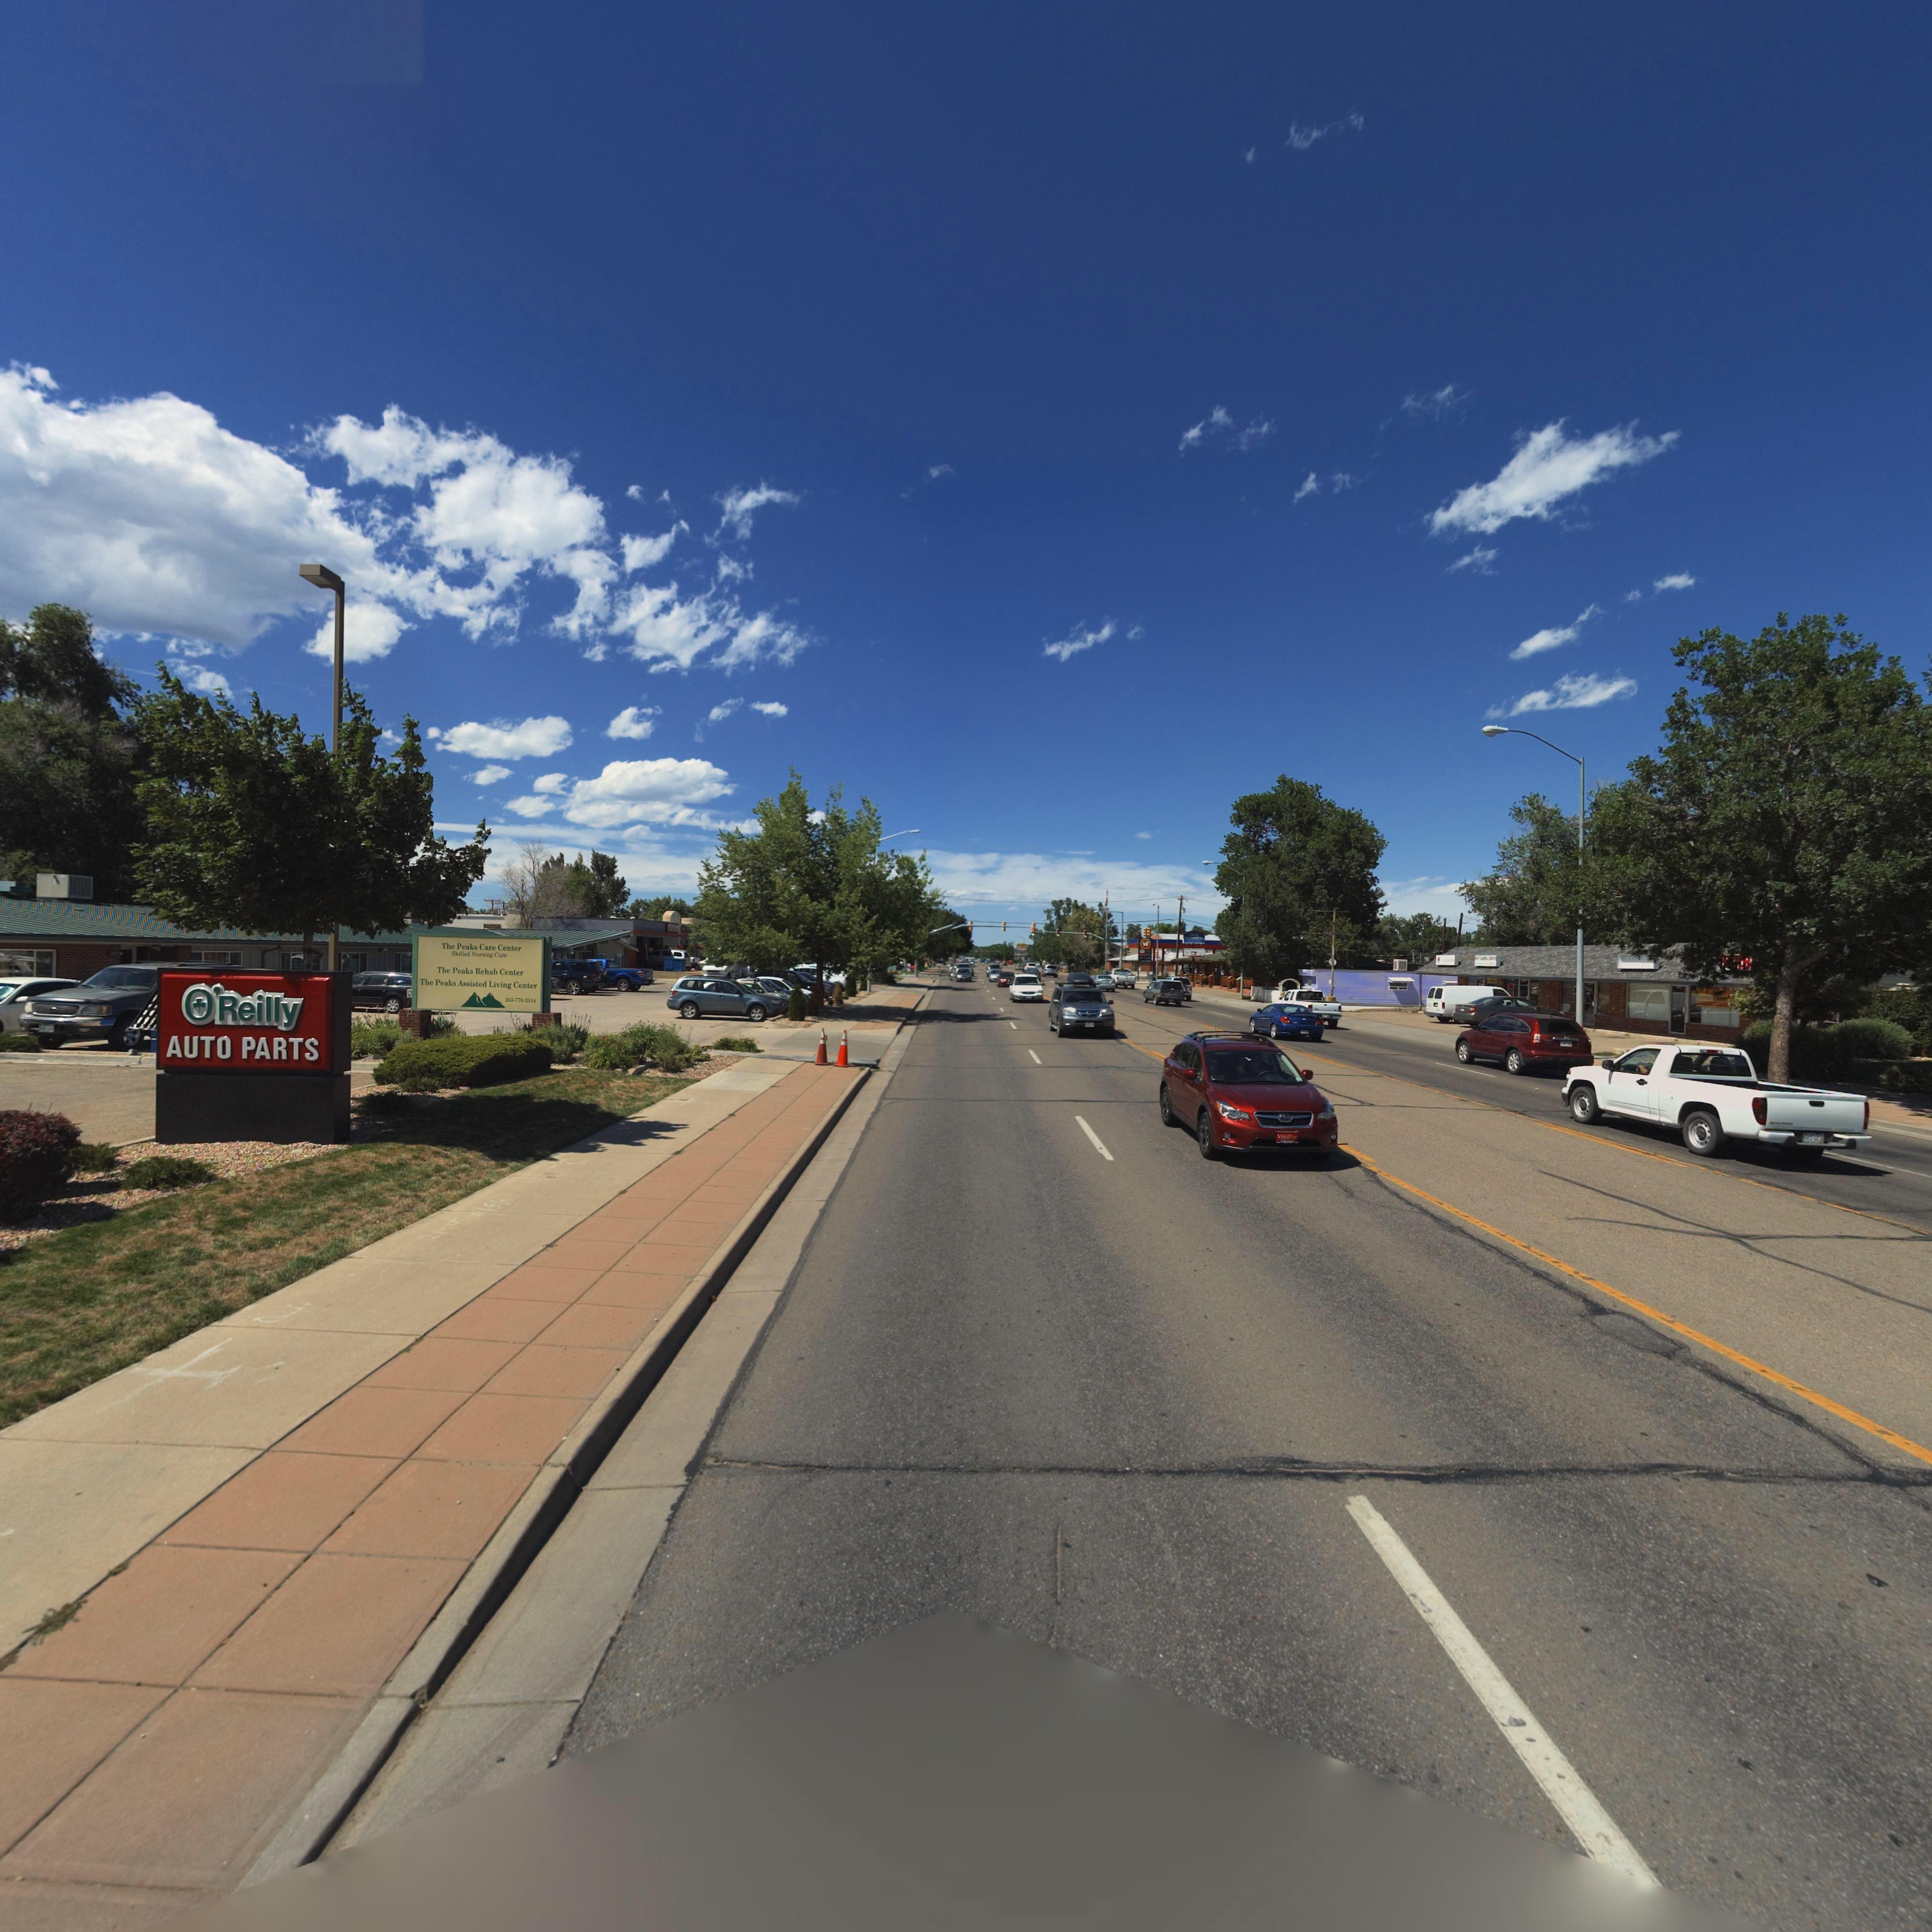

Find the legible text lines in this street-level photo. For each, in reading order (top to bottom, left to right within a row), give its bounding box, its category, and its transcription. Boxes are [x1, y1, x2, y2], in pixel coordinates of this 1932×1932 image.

[441, 942, 522, 951] BusinessName: The Peaks Care Center
[436, 966, 523, 976] BusinessName: The Peaks Rehab Center
[420, 978, 537, 990] BusinessName: The Peaks Assisted Living Center
[183, 985, 299, 1028] BusinessName: O'Reilly
[166, 1035, 320, 1061] BusinessName: AUTO PARTS